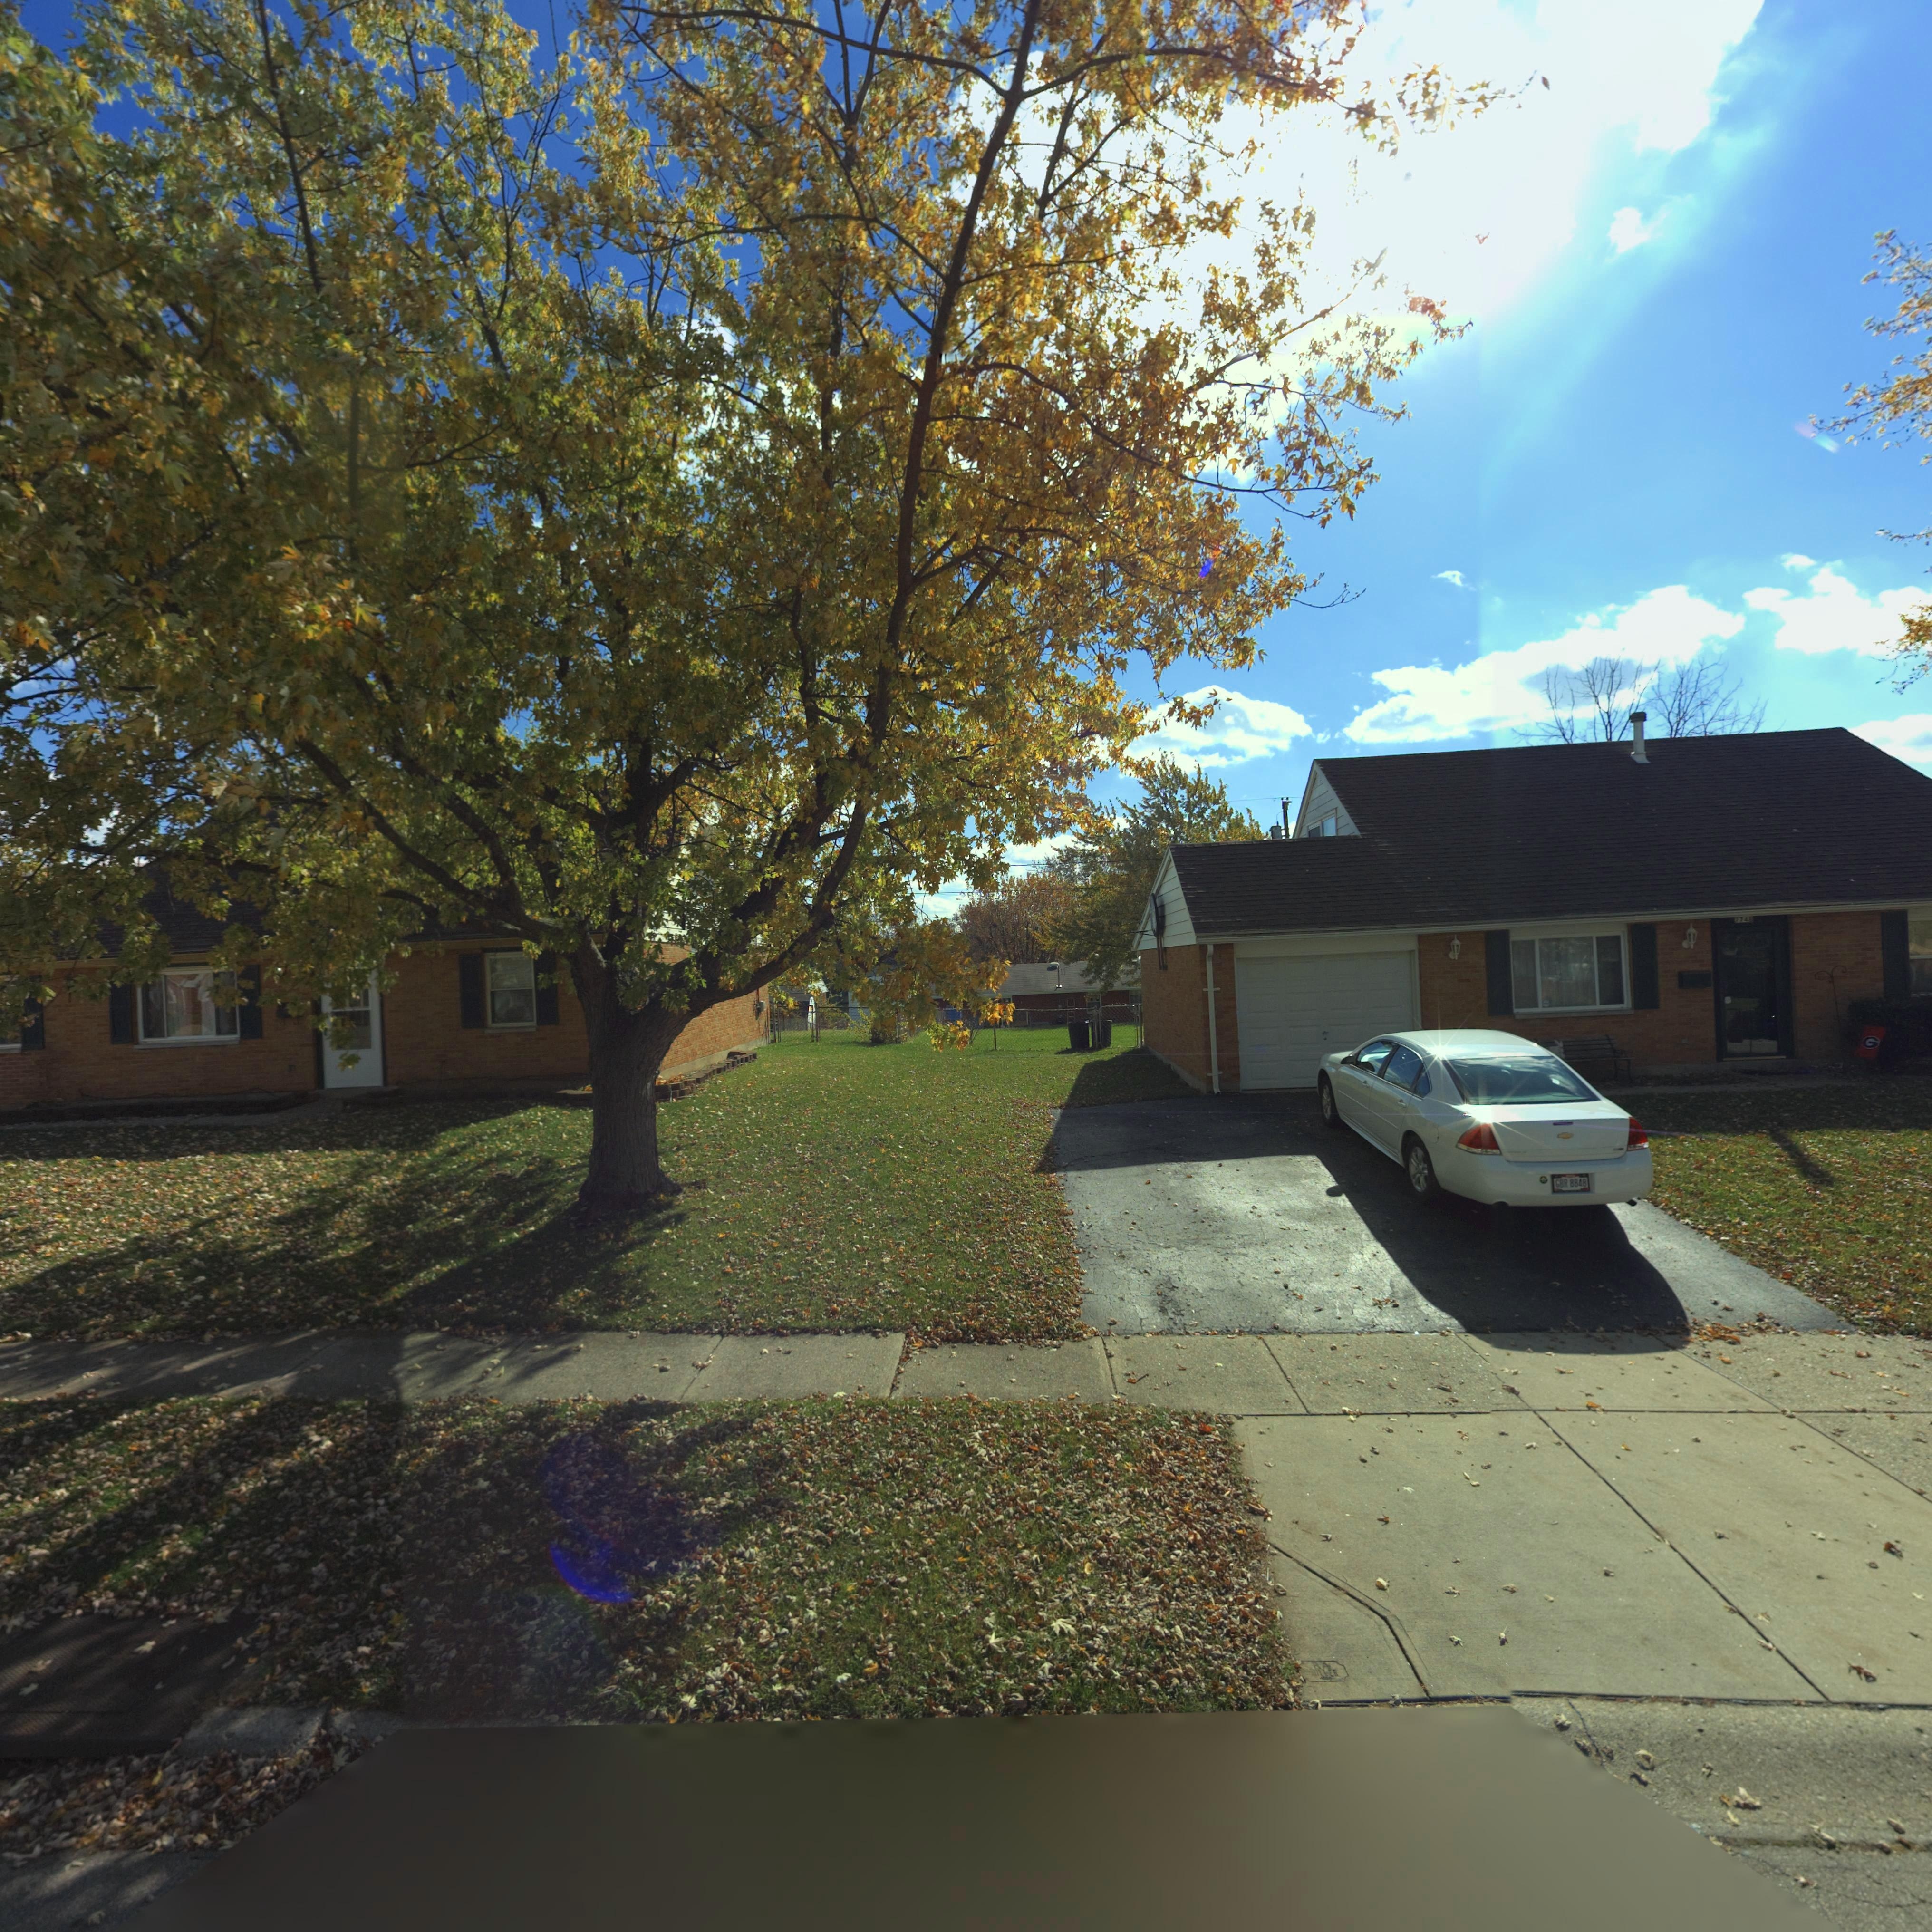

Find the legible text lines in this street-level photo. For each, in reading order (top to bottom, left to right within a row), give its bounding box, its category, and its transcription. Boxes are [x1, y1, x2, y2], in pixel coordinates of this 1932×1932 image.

[1734, 916, 1753, 923] StreetNumber: 7748